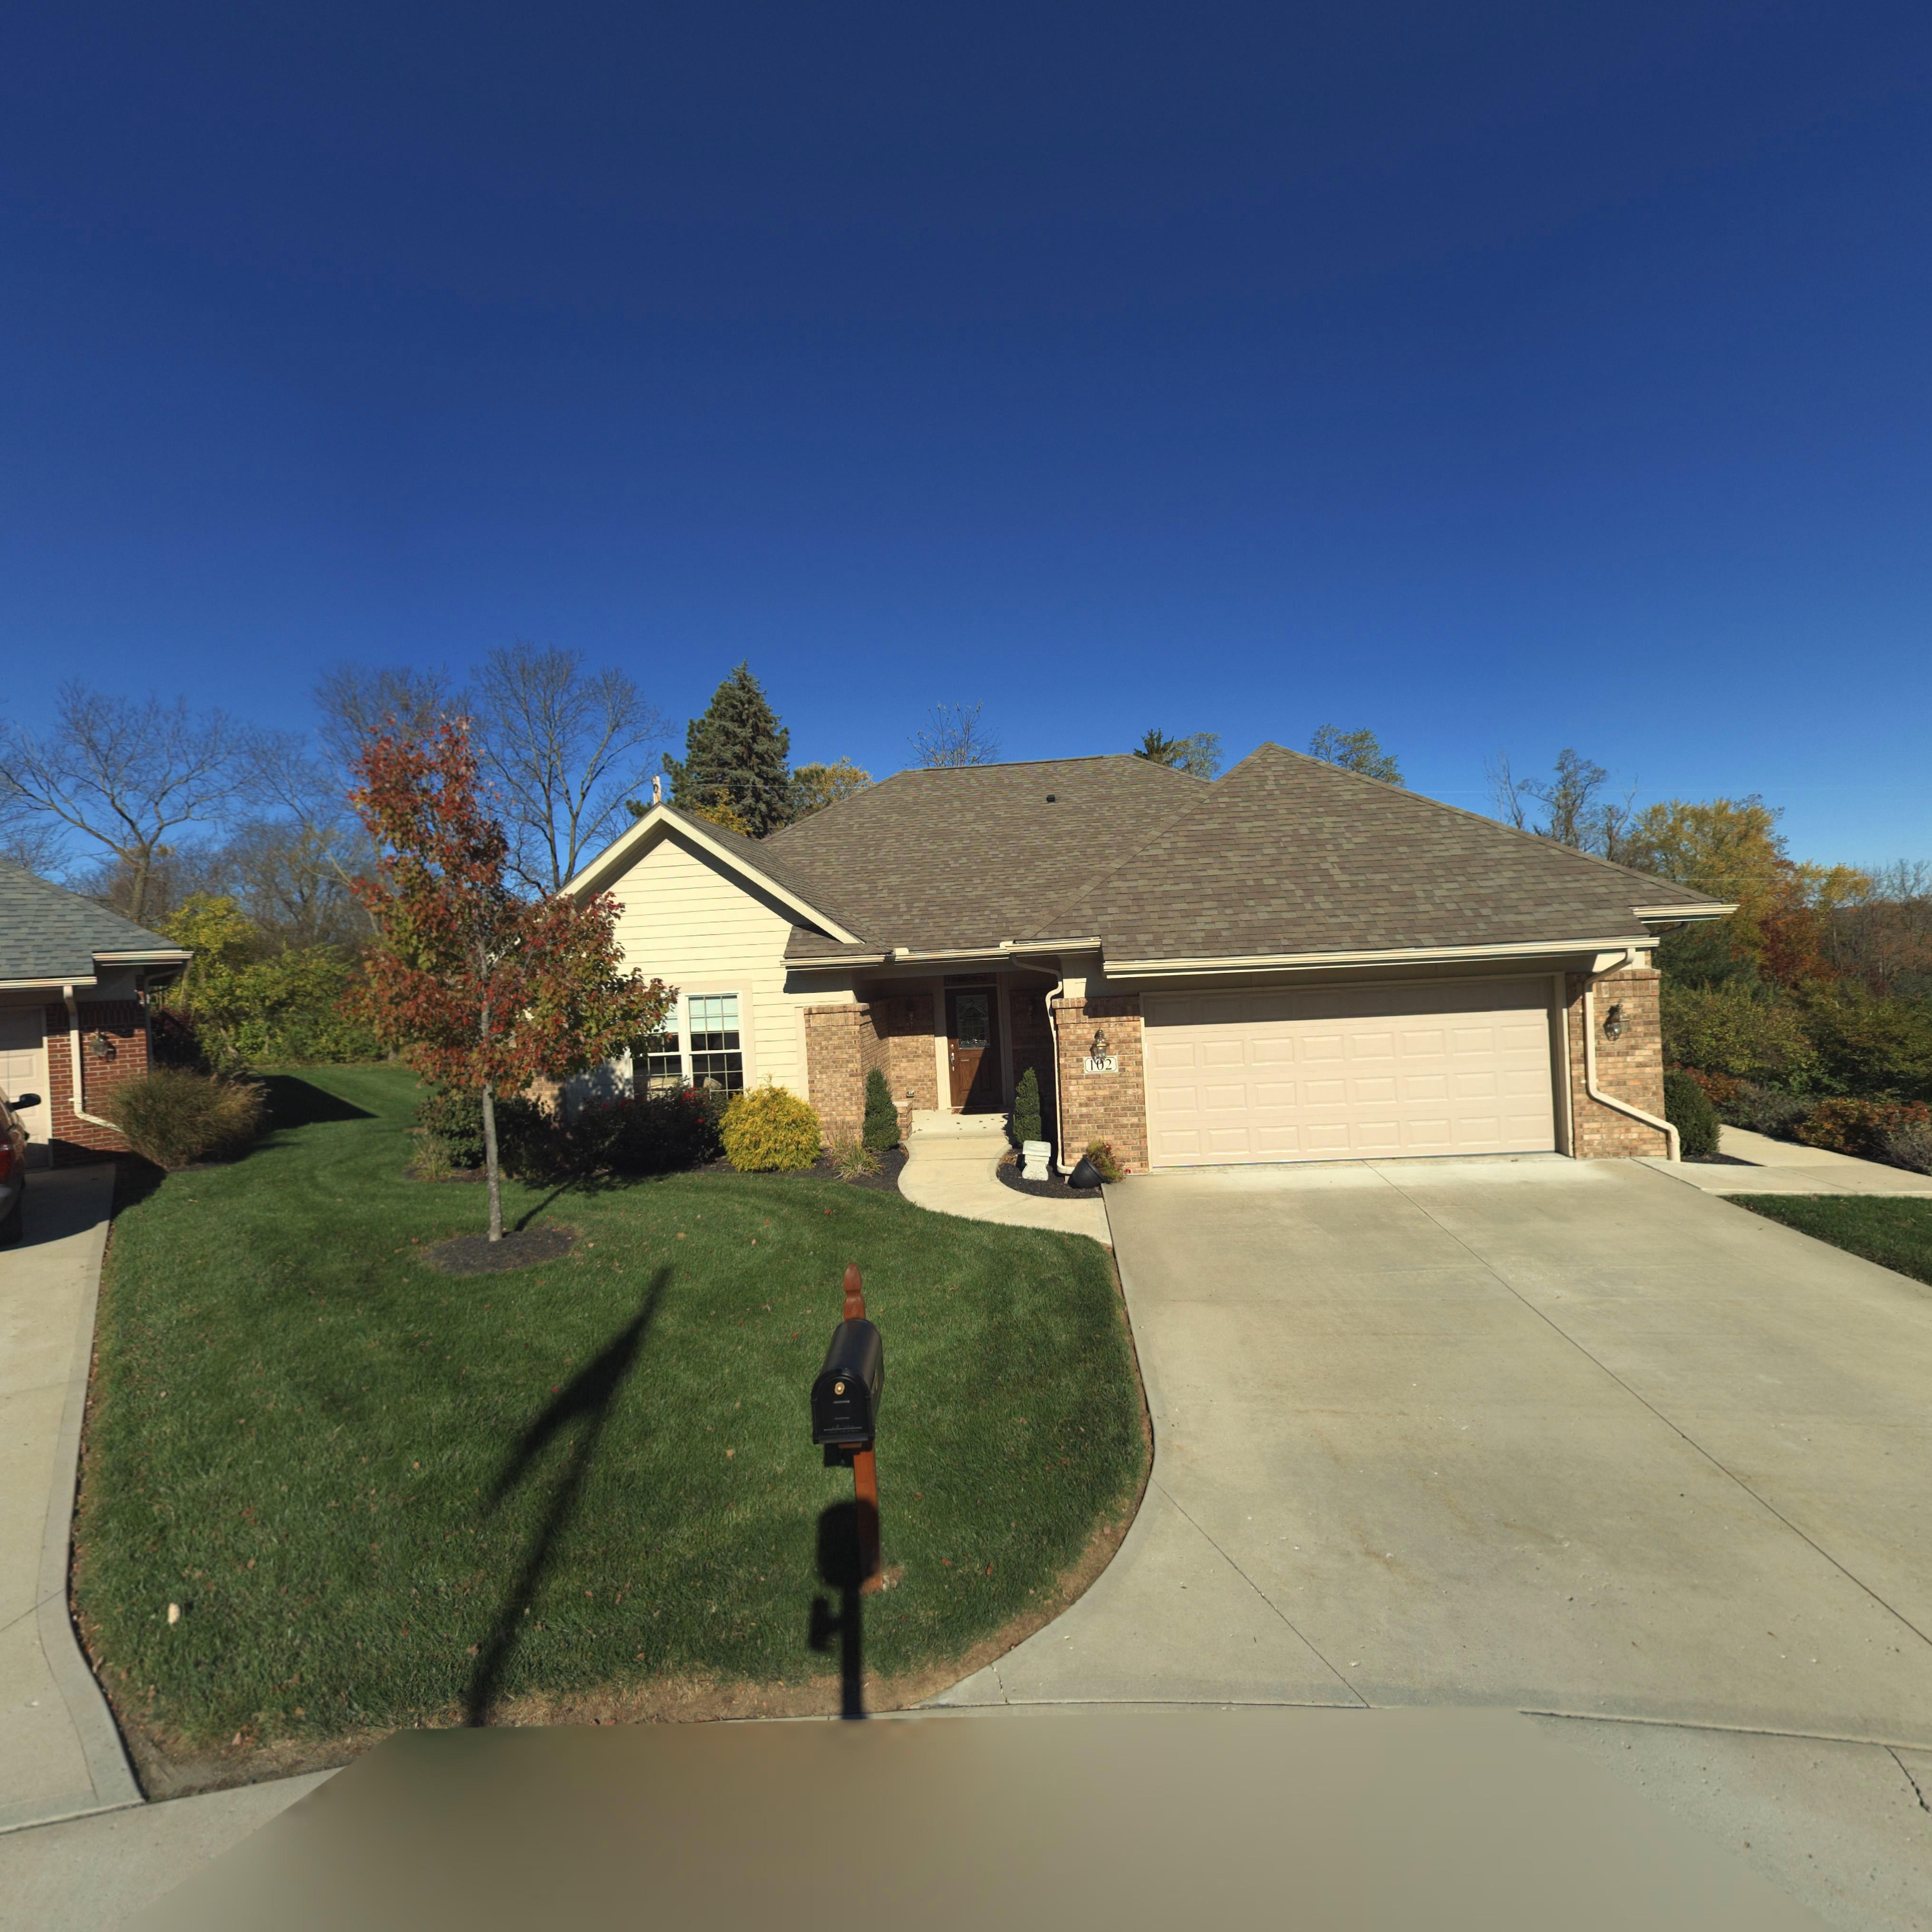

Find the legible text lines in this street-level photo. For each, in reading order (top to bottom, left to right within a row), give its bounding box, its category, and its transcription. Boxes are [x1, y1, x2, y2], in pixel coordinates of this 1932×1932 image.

[1090, 1058, 1113, 1071] StreetNumber: 1*2